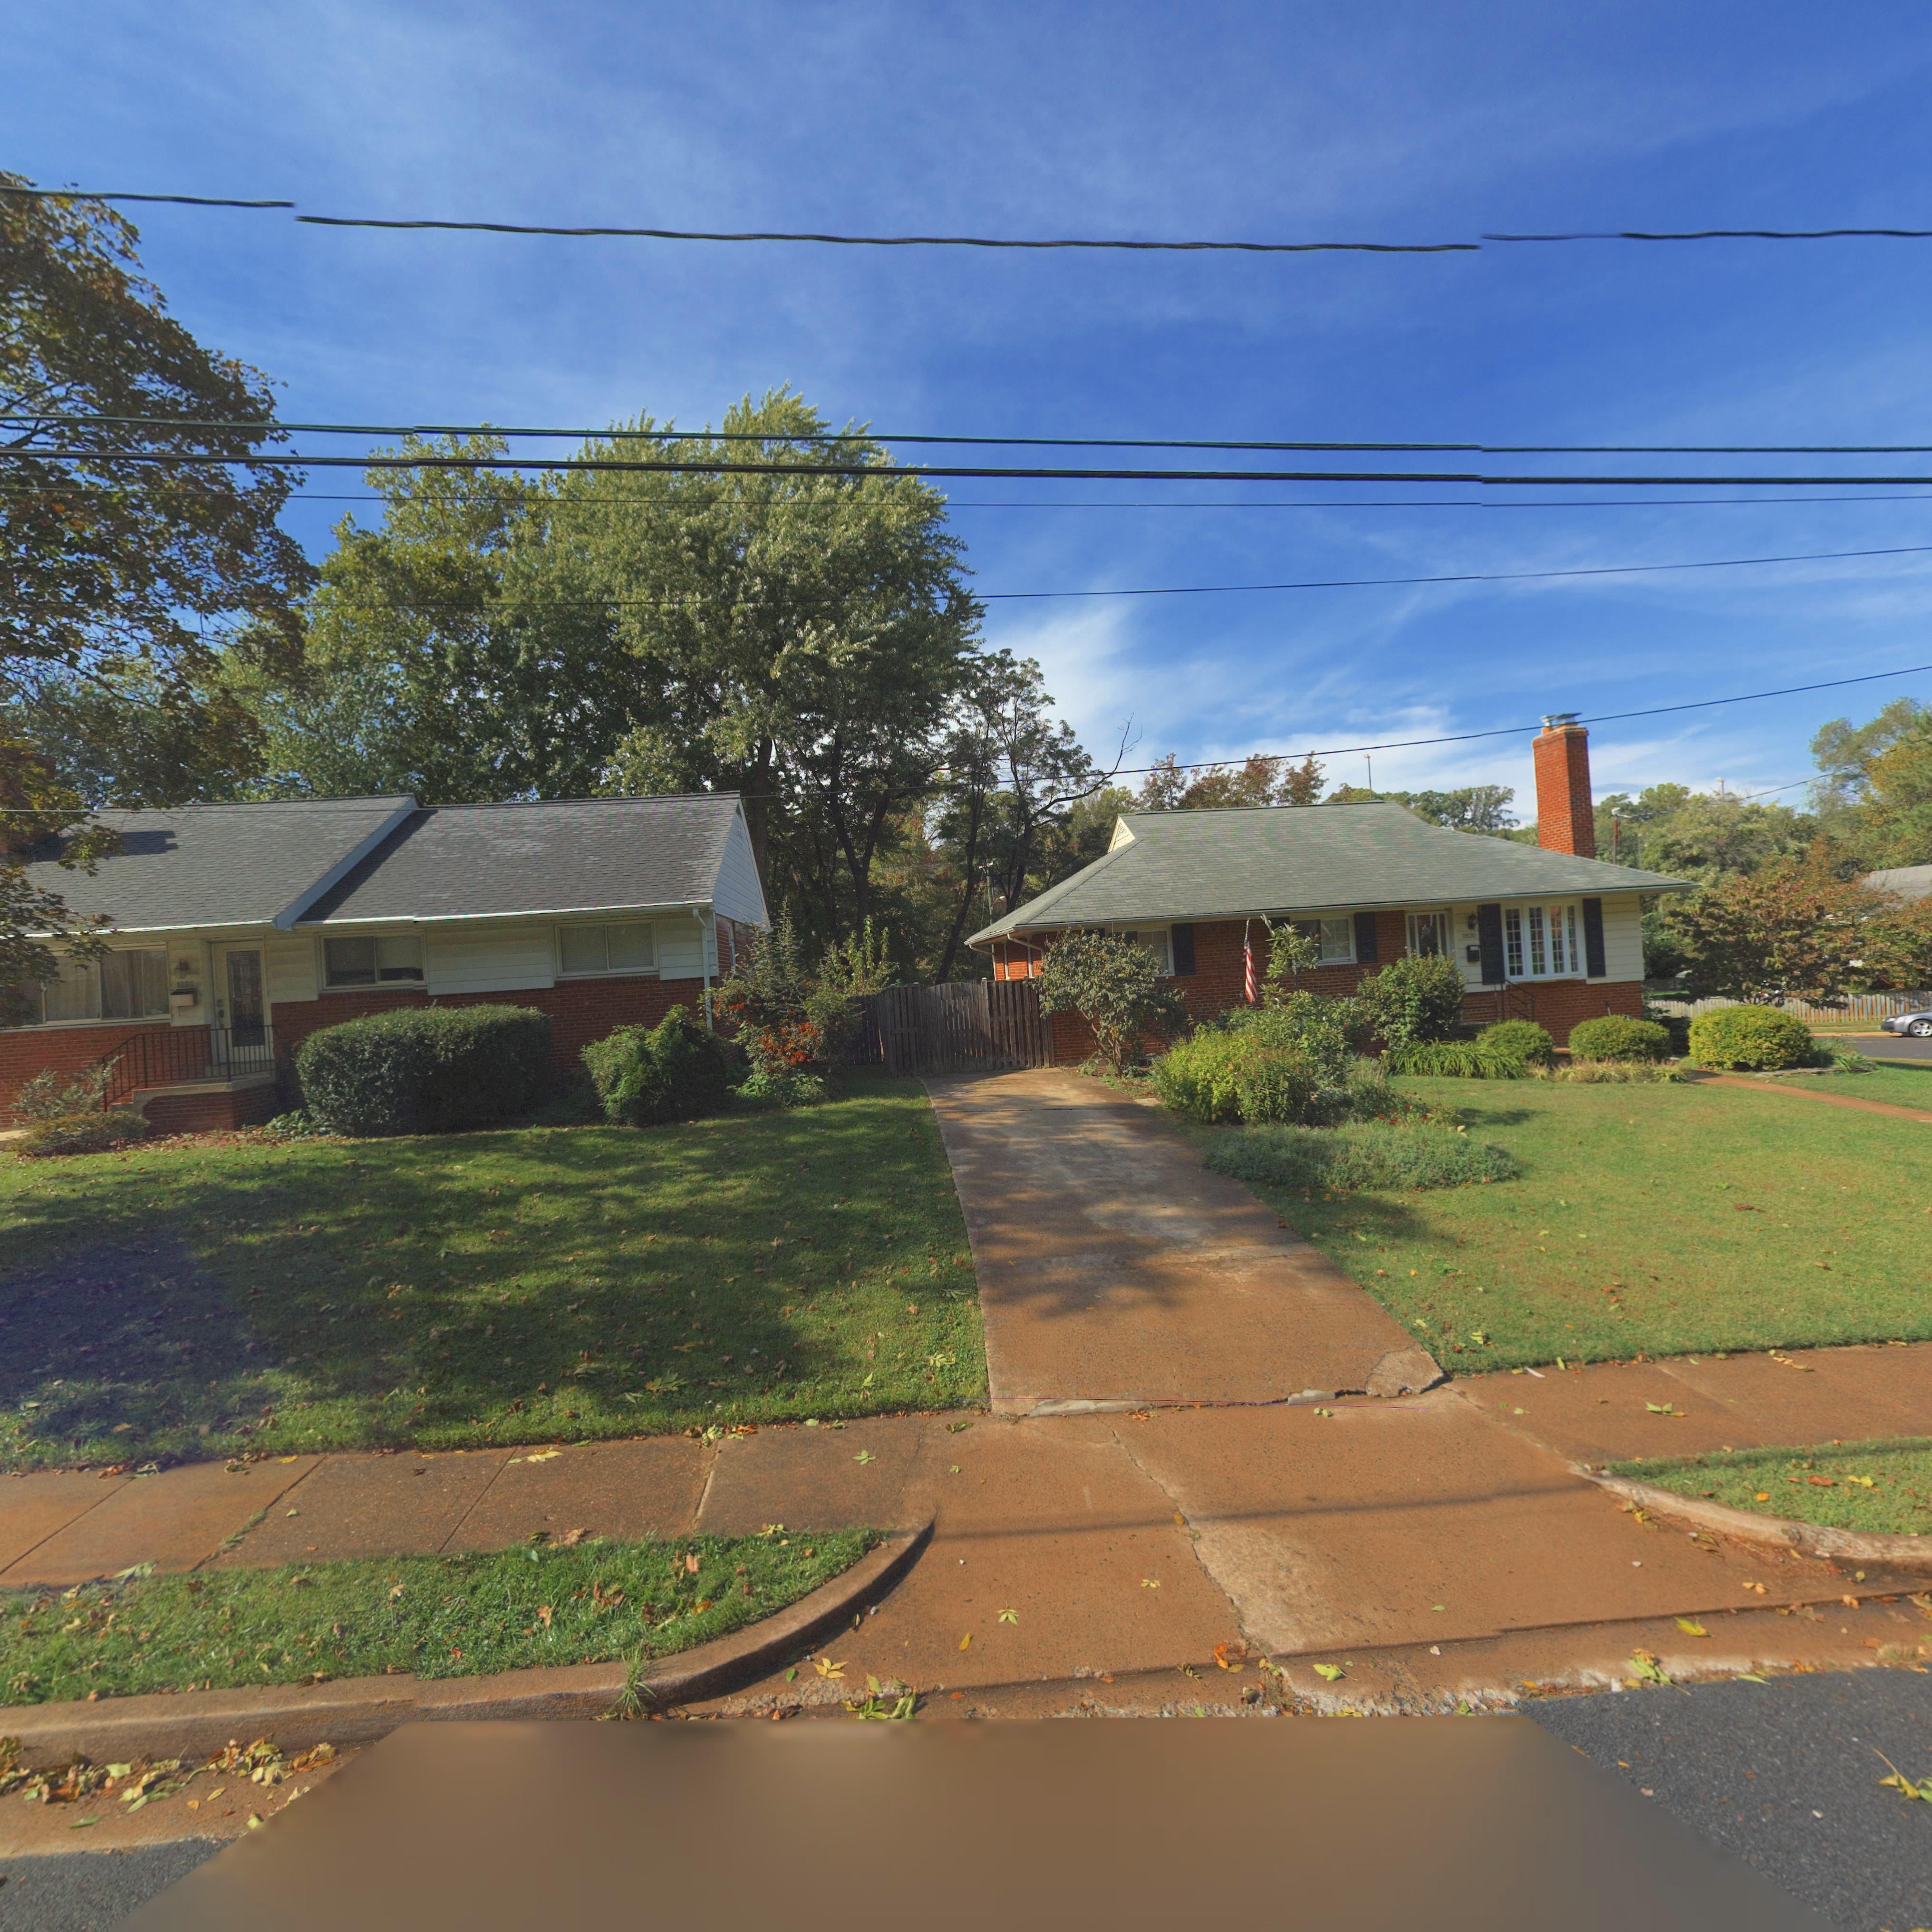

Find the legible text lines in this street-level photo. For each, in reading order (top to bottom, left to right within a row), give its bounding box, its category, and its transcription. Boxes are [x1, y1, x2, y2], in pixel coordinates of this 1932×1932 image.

[1462, 932, 1476, 939] StreetNumber: 1820
[176, 981, 194, 988] StreetNumber: 1835